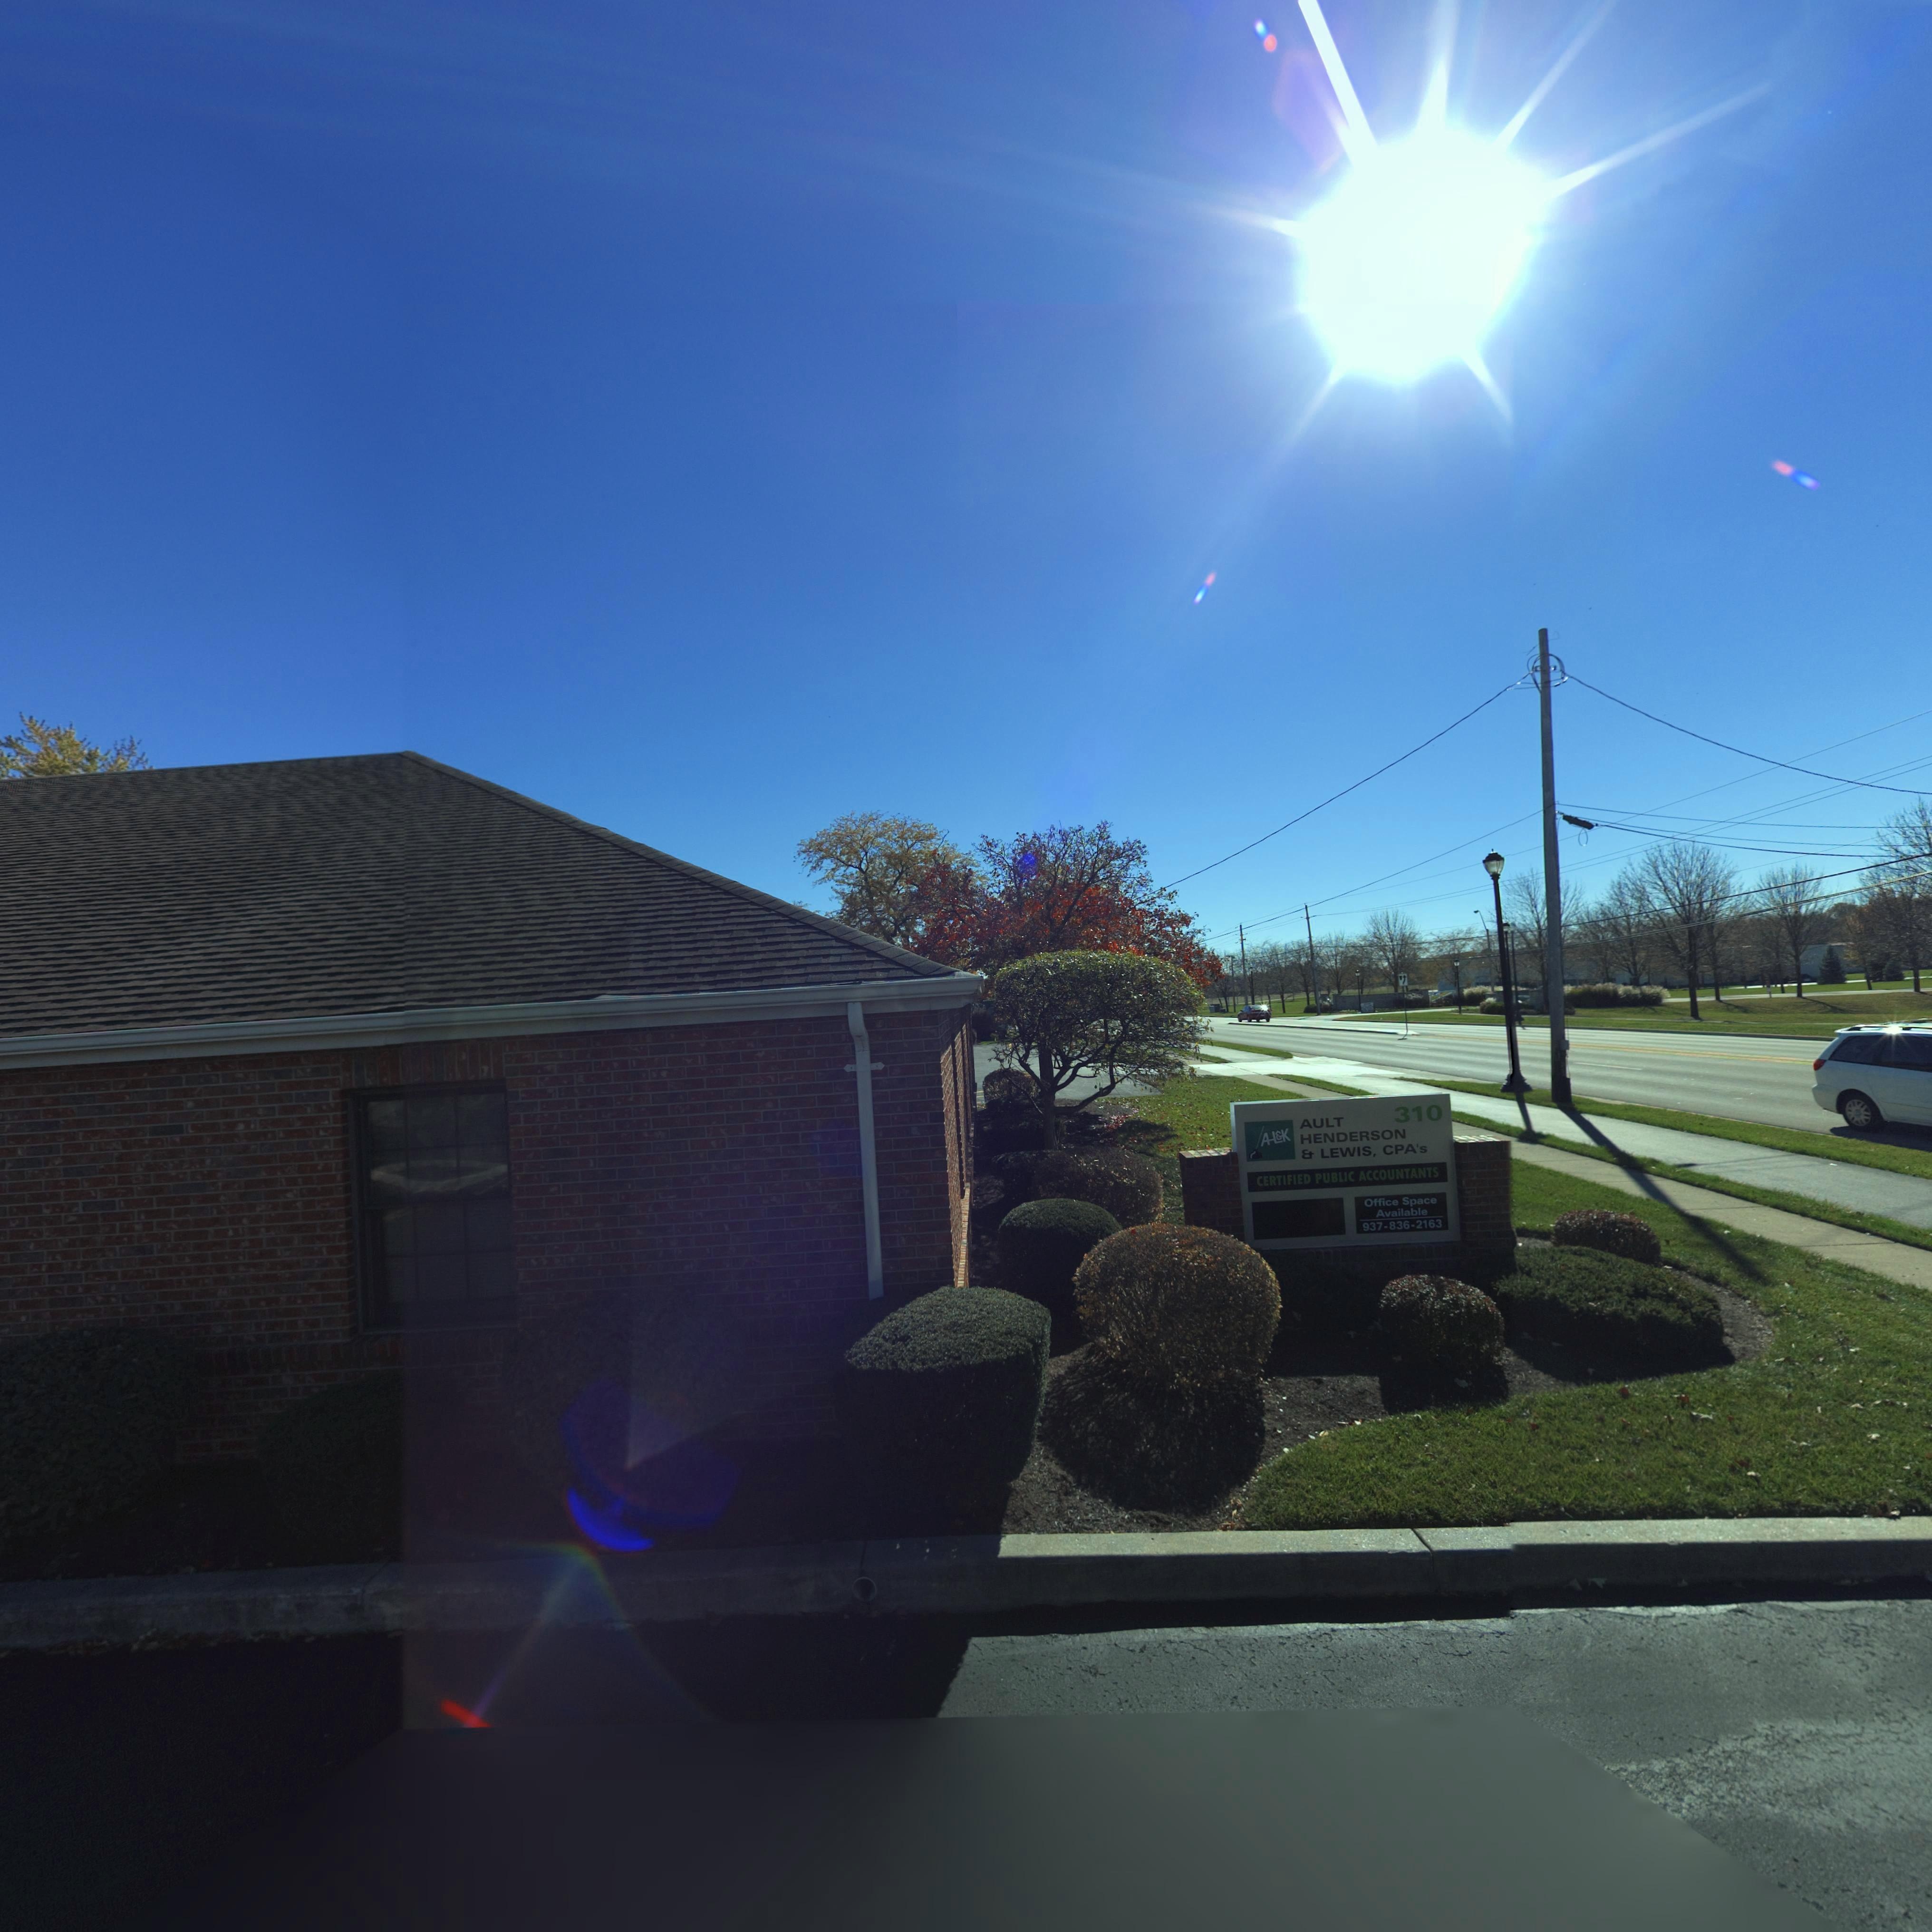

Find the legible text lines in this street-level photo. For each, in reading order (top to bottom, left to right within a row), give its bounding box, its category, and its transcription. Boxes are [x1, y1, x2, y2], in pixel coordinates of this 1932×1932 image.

[1393, 1102, 1445, 1125] StreetNumber: 310
[1298, 1116, 1345, 1130] BusinessName: AULT
[1259, 1127, 1292, 1148] None: A-L&K
[1299, 1128, 1407, 1145] BusinessName: HENDERSON
[1301, 1142, 1429, 1160] BusinessName: & LEWIS, CPA's
[1256, 1166, 1440, 1188] None: CERTIFIED PUBLIC ACCOUNTANTS
[1363, 1196, 1439, 1208] None: Office Space
[1374, 1207, 1430, 1218] None: Available
[1360, 1218, 1443, 1233] None: 937-836-2163